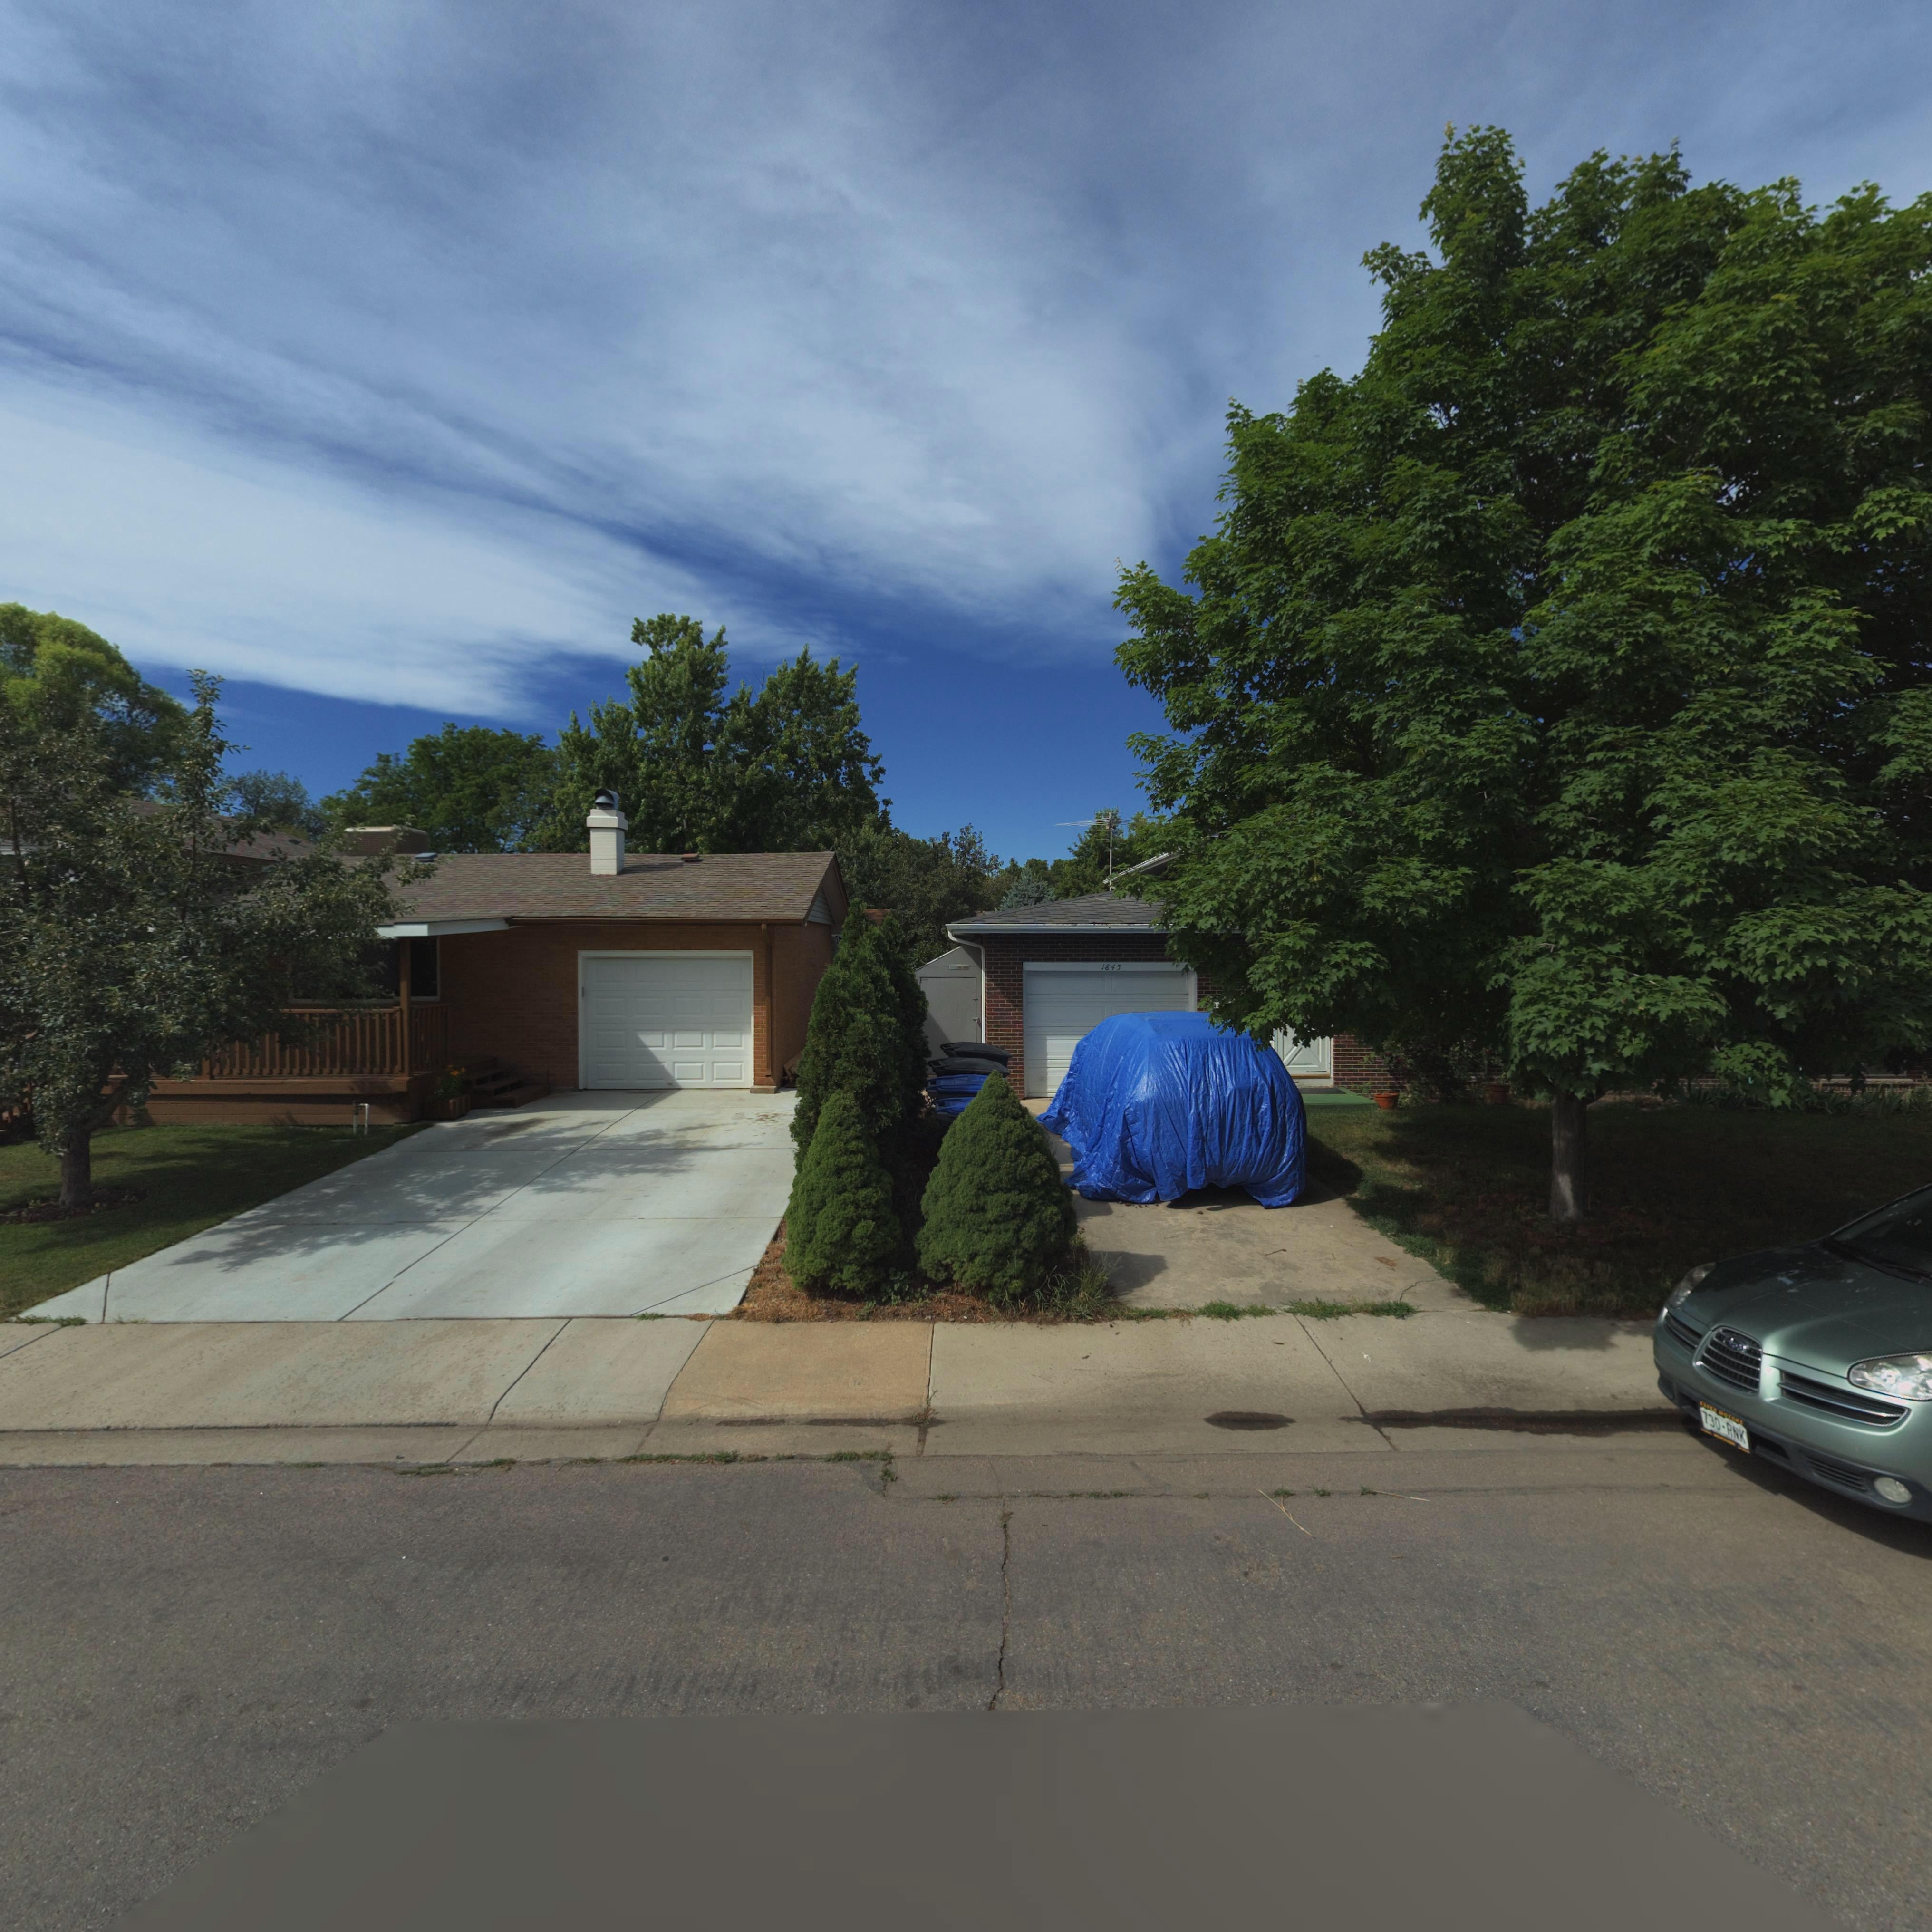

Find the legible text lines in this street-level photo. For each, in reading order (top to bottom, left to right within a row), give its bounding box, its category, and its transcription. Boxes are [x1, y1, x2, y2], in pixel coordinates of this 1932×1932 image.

[1101, 963, 1121, 971] StreetNumber: 1845